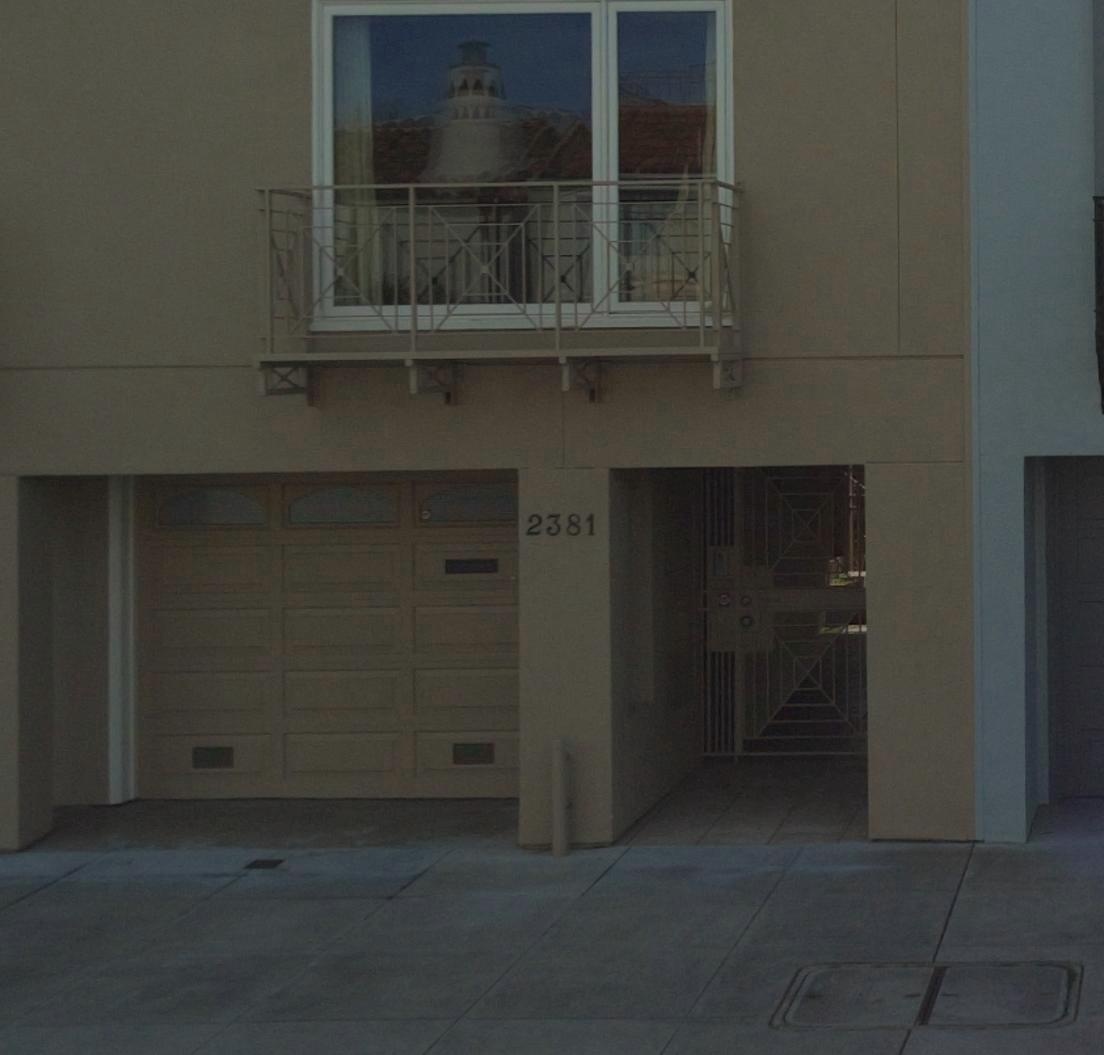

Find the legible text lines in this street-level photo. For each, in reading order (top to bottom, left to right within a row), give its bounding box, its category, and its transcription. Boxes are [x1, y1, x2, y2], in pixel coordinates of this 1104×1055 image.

[523, 510, 597, 538] StreetNumber: 2381